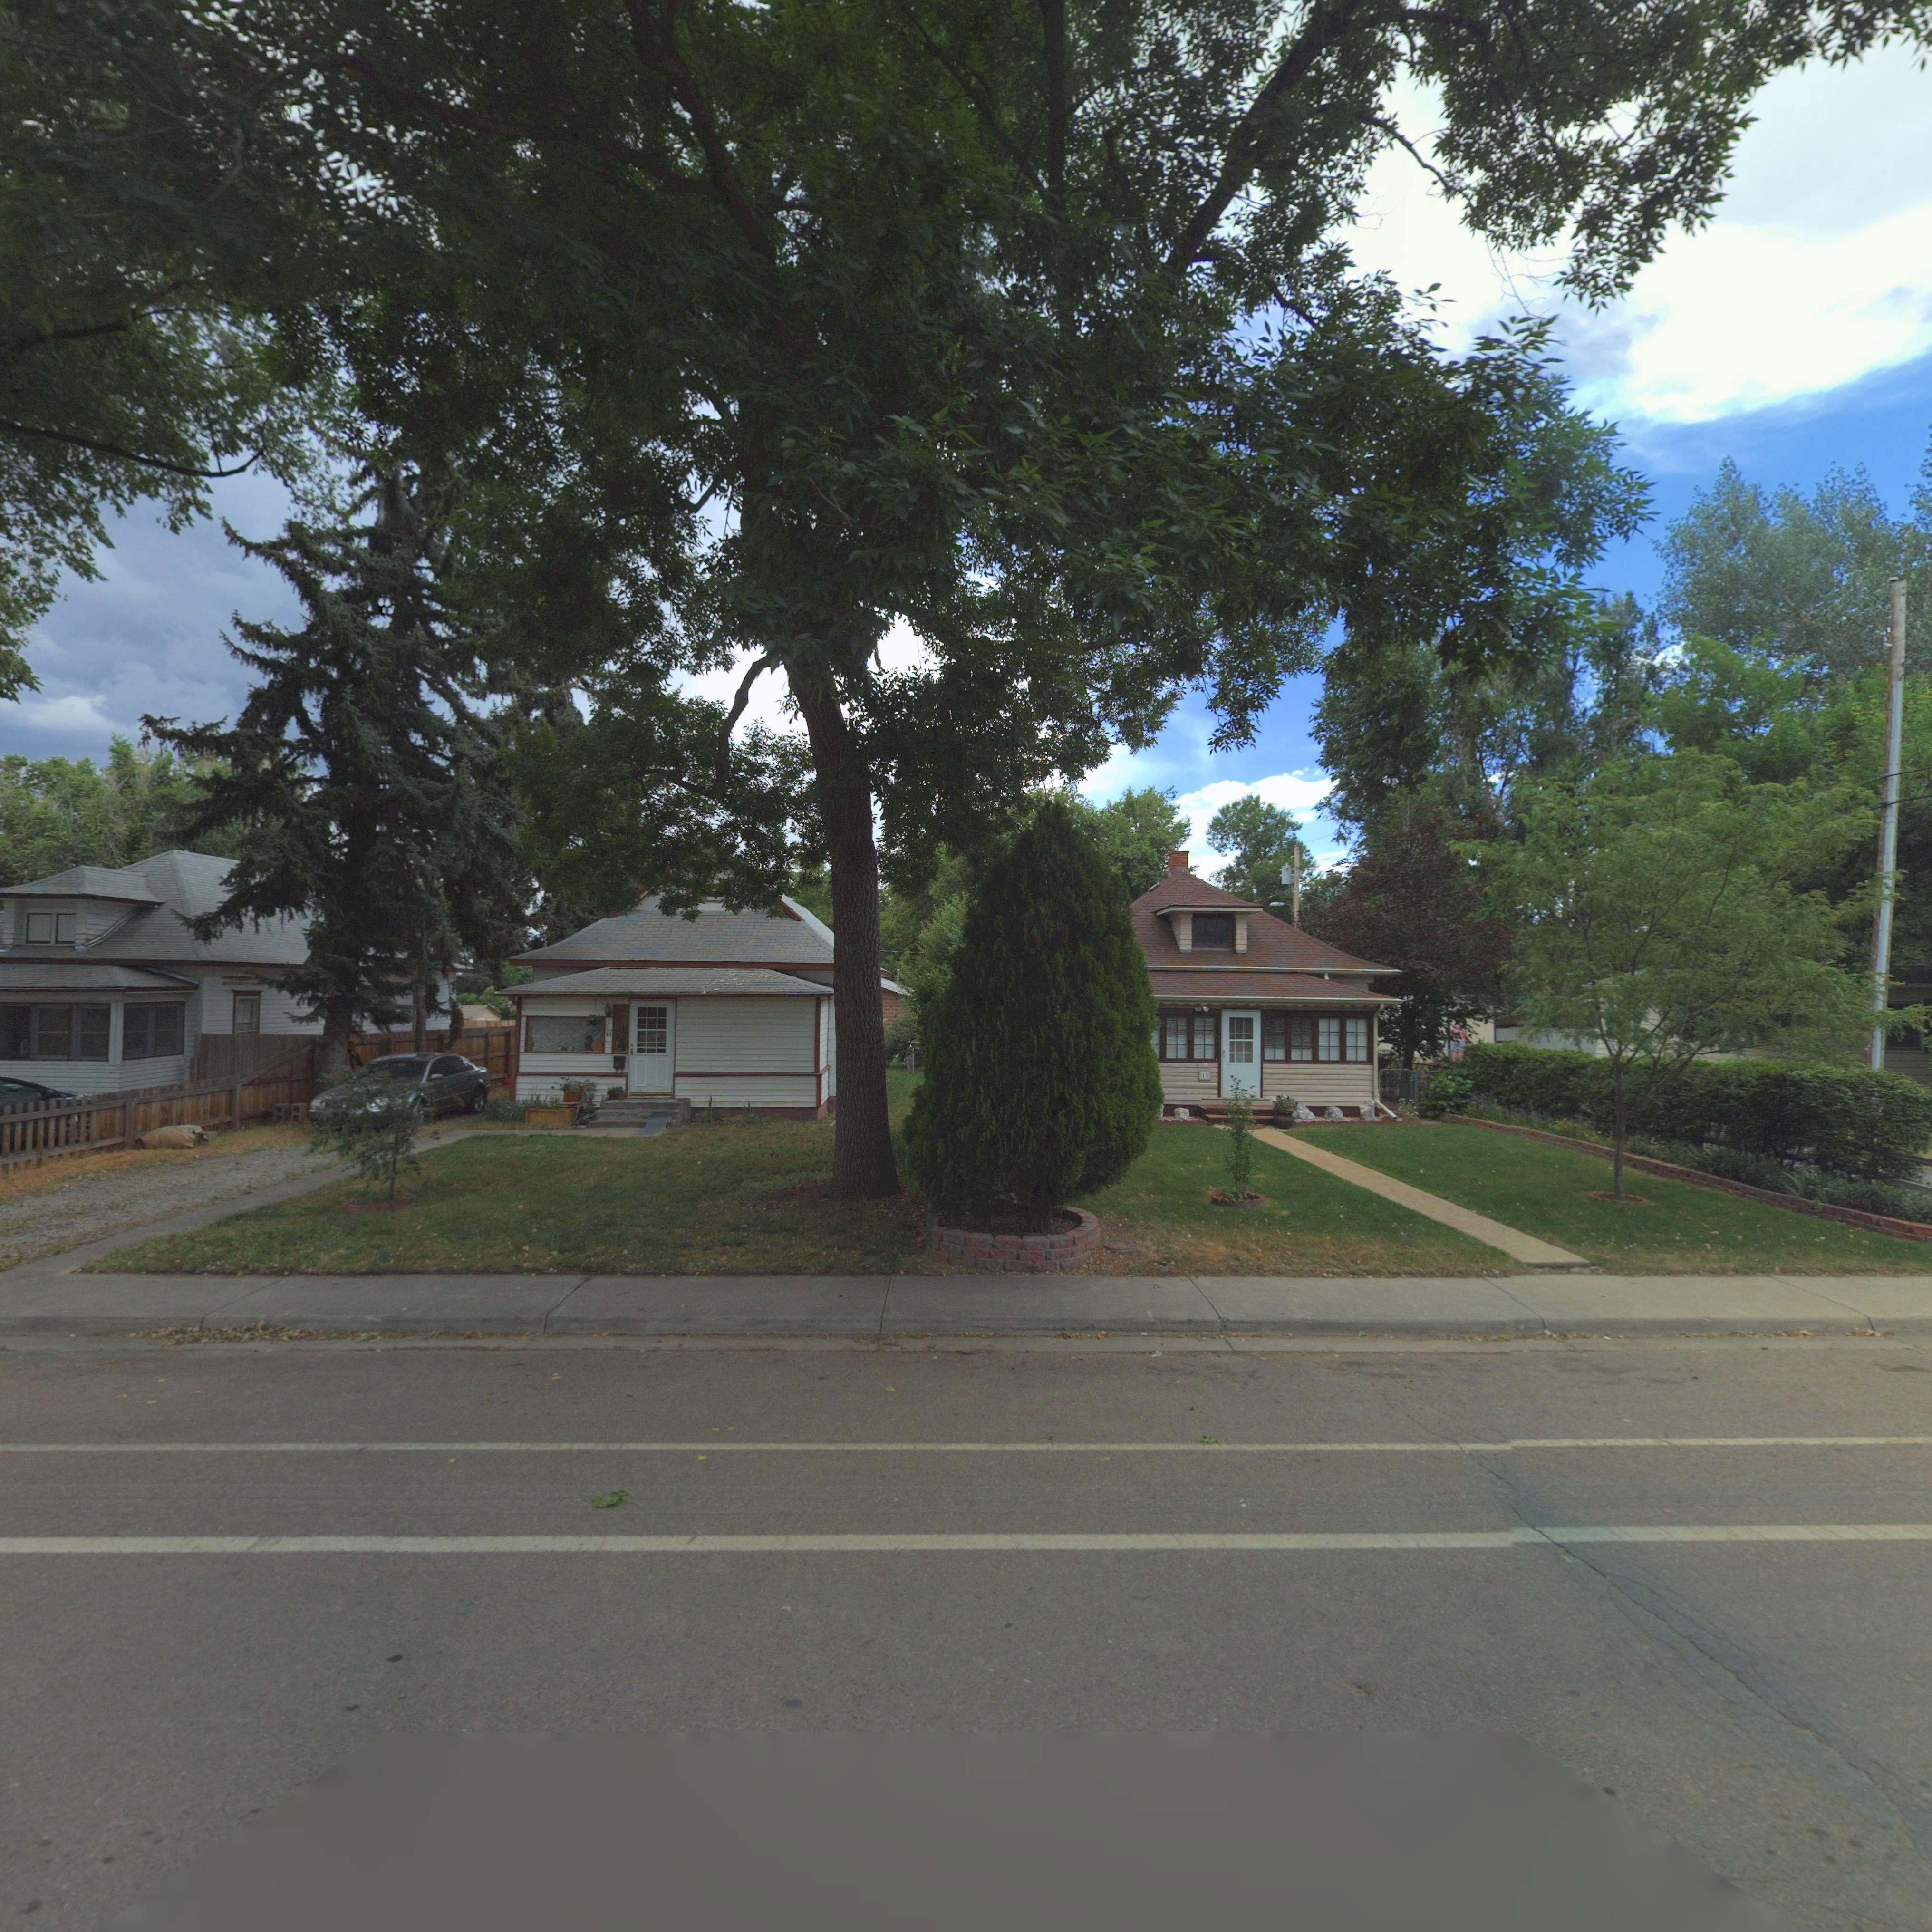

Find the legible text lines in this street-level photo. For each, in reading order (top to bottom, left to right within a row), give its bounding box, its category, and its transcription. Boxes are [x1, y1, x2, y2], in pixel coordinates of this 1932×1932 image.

[605, 1028, 612, 1036] StreetNumber: 11
[1202, 1072, 1208, 1077] StreetNumber: 15